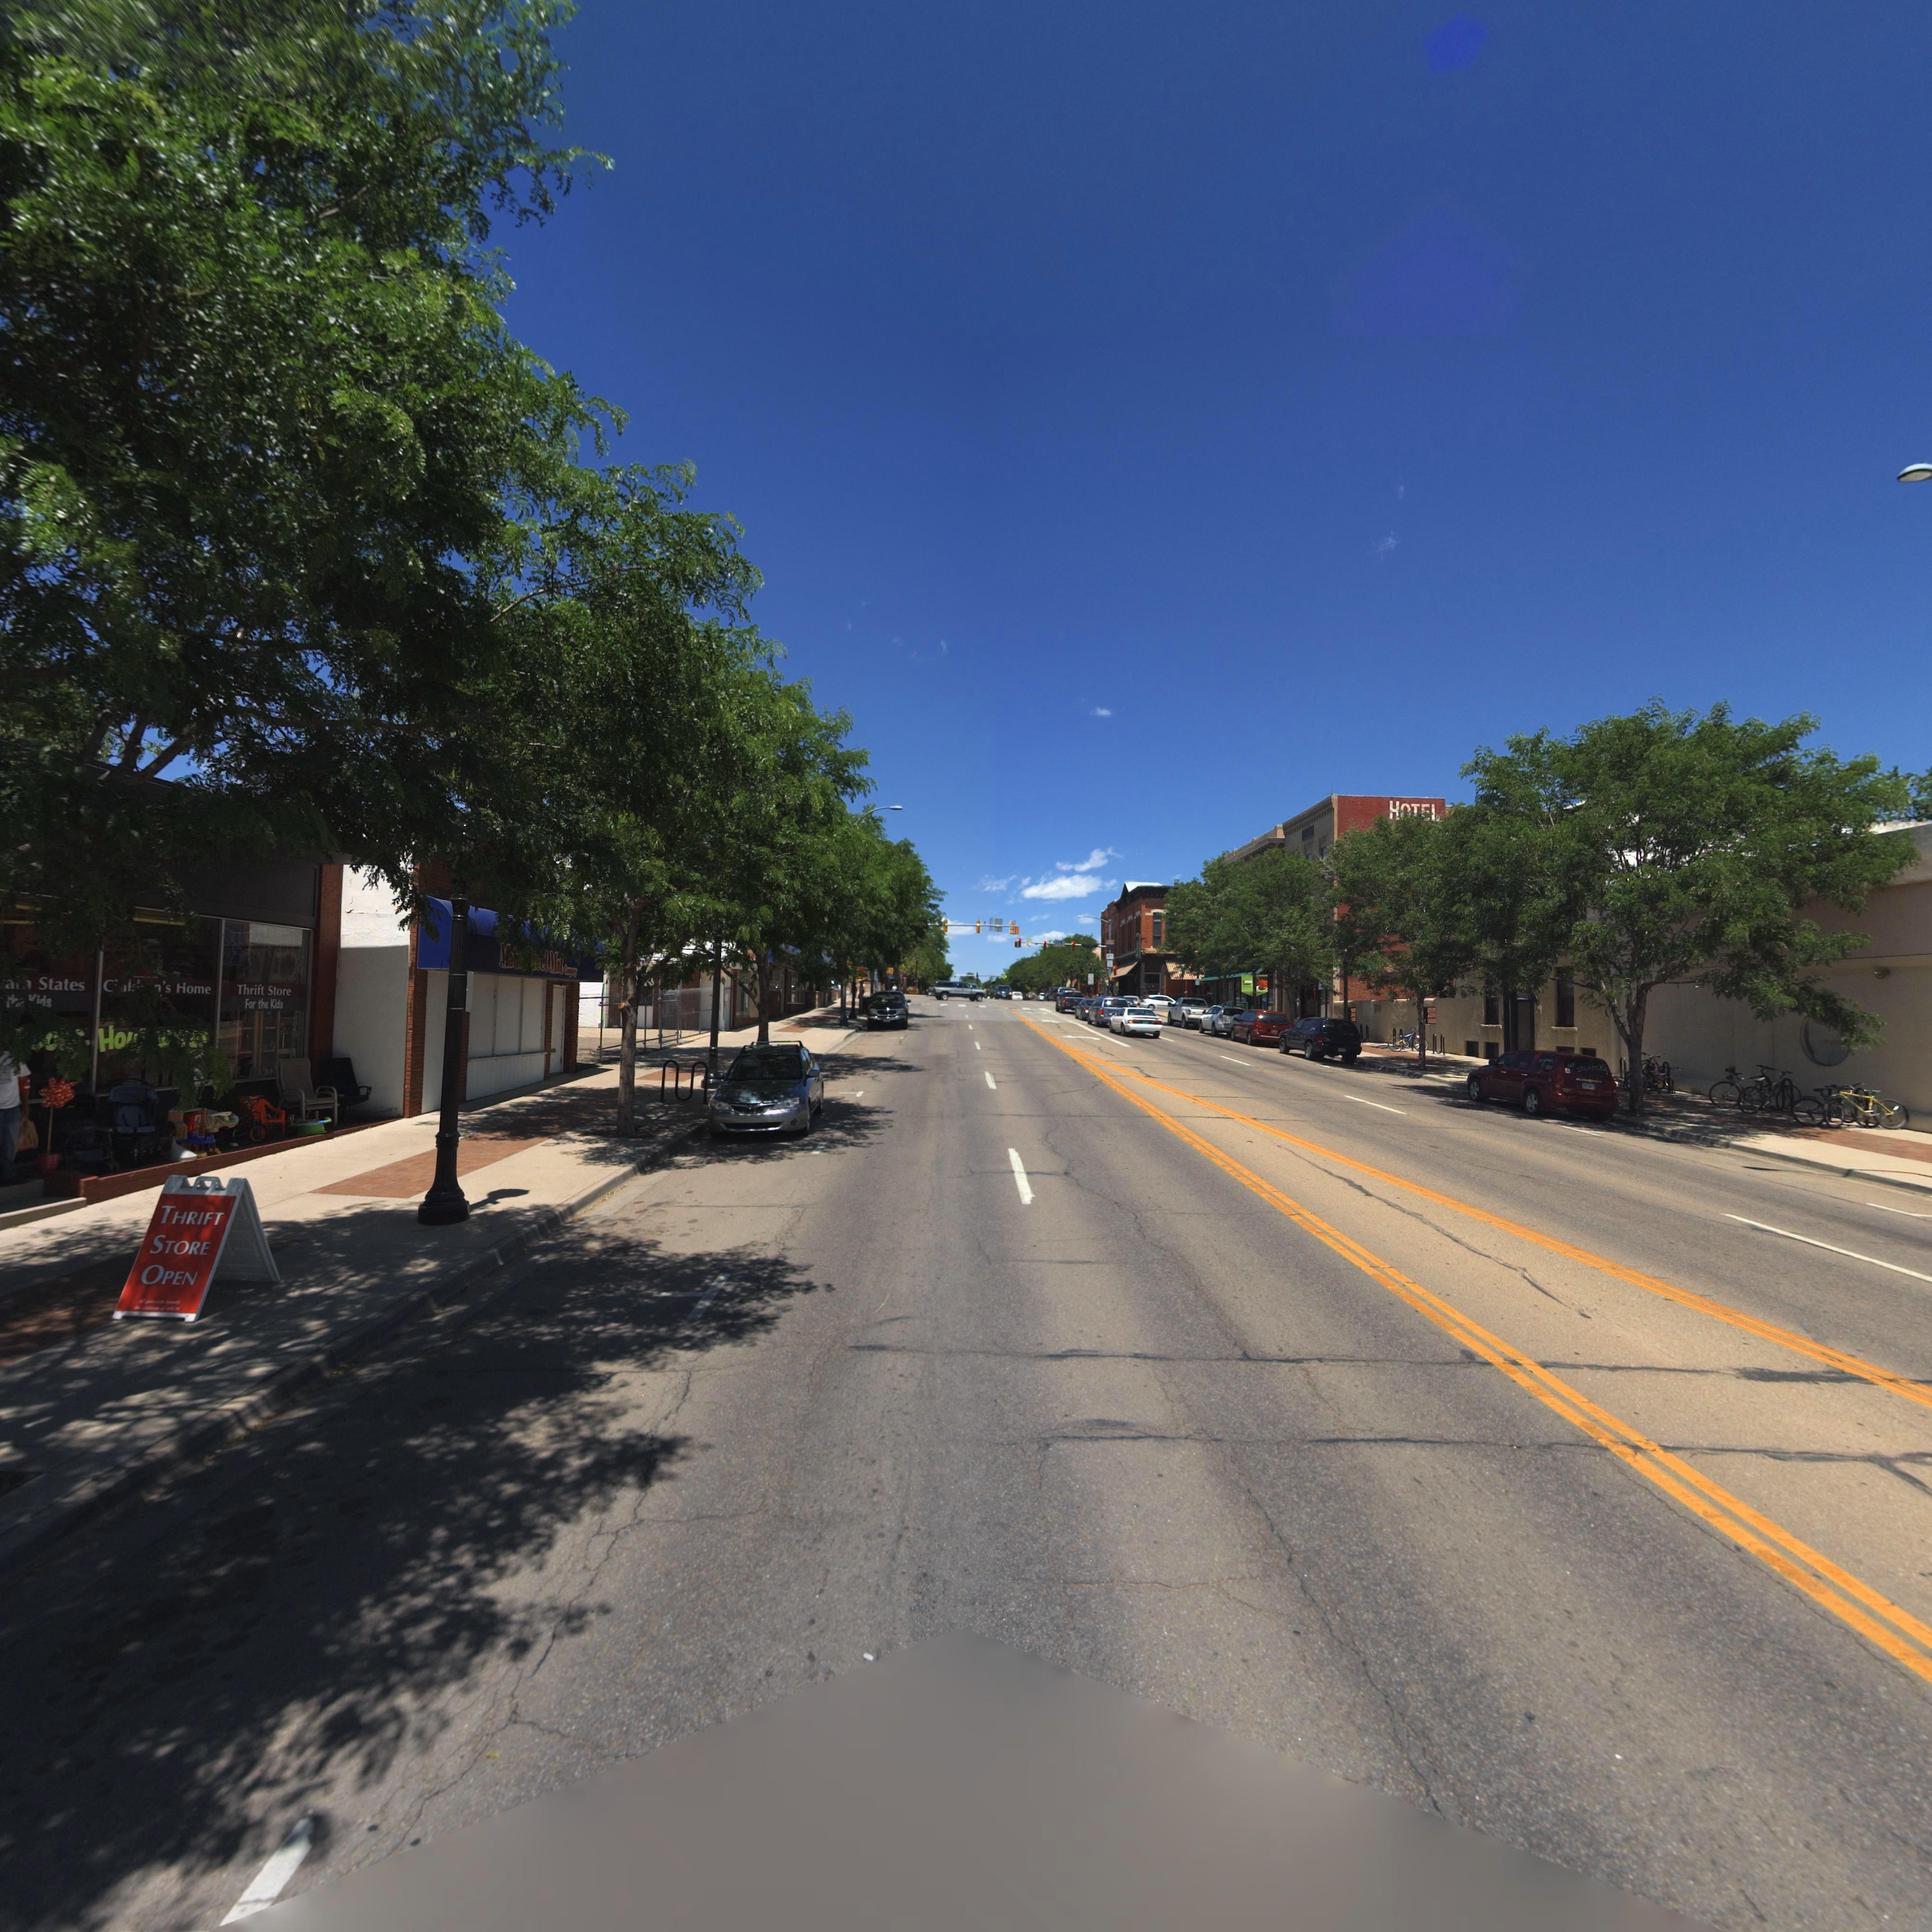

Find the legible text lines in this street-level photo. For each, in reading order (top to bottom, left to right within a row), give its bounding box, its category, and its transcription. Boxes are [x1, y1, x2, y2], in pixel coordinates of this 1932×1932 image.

[150, 1234, 210, 1254] BusinessName: STORE